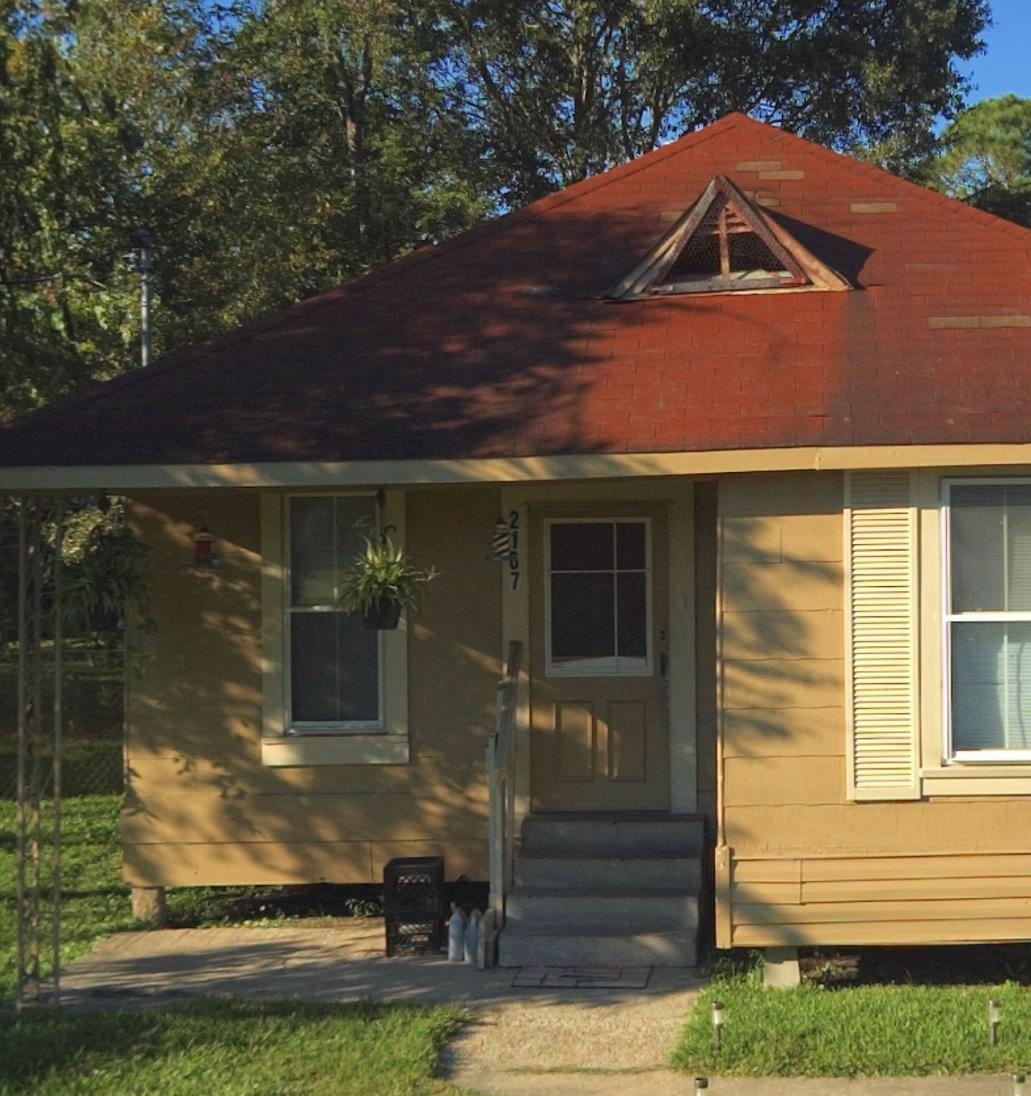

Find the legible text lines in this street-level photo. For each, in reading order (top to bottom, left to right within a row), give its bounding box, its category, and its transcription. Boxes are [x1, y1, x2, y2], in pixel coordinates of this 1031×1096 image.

[507, 508, 522, 592] StreetNumber: 2167